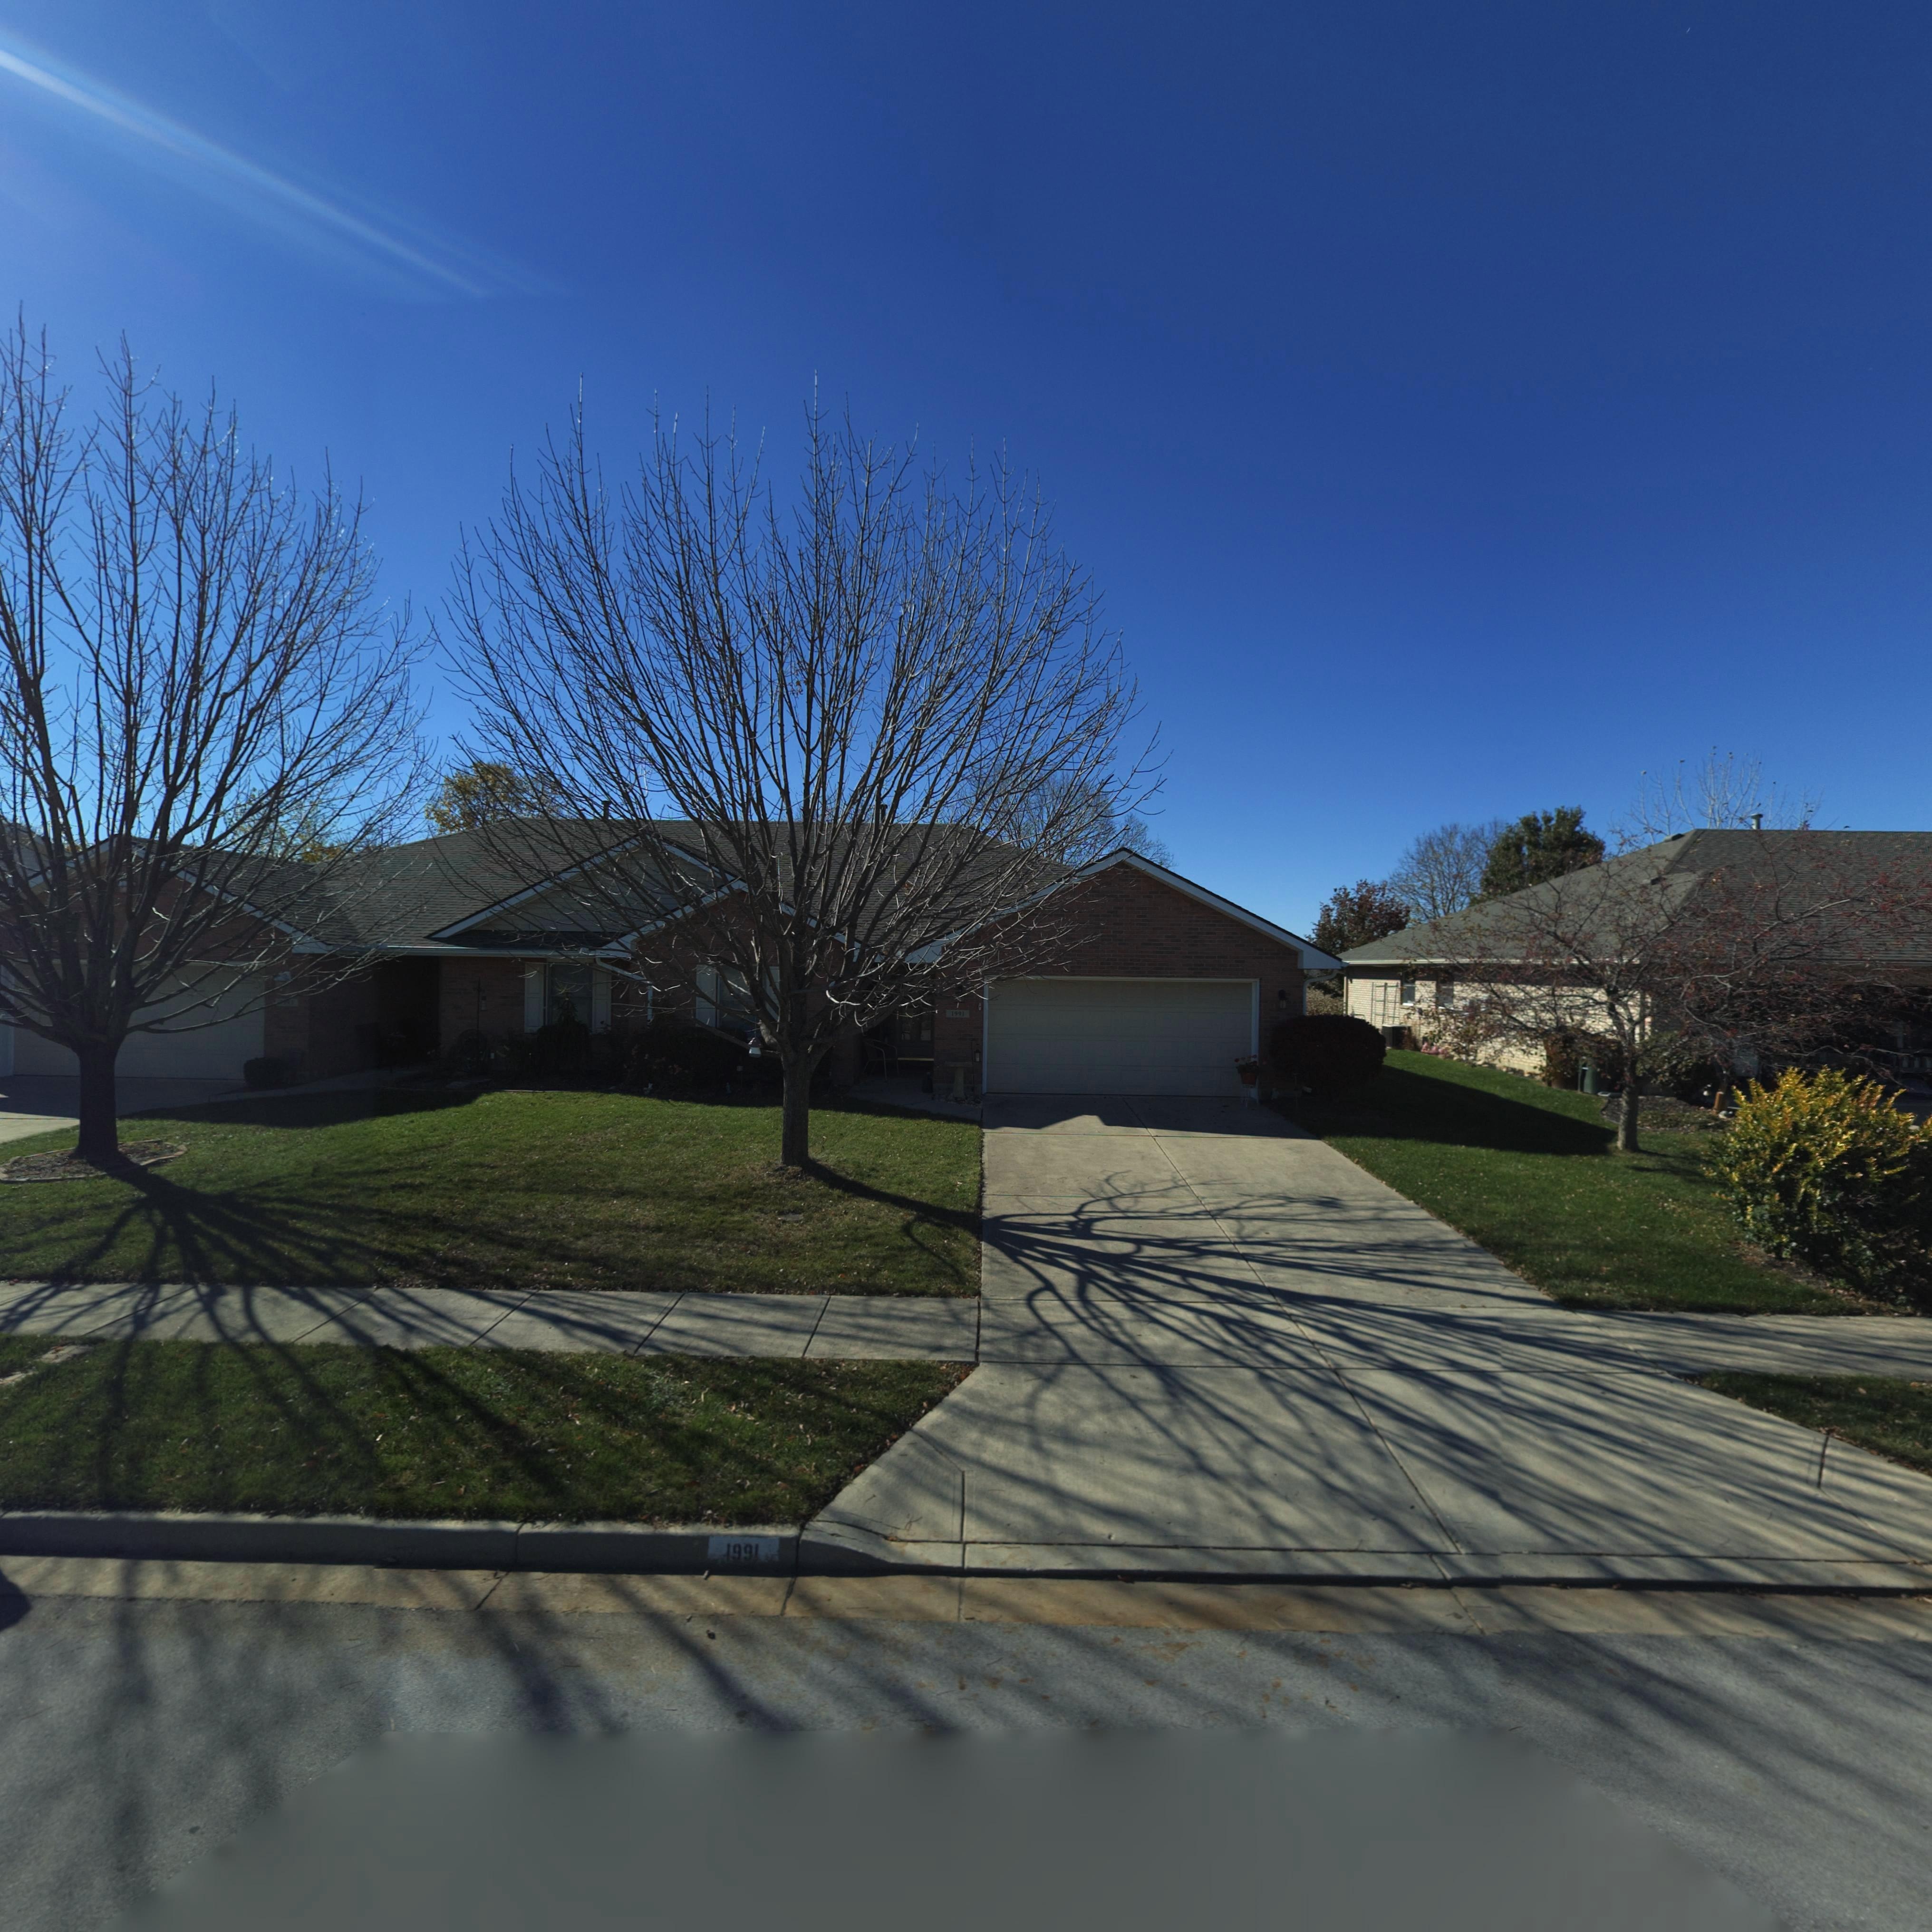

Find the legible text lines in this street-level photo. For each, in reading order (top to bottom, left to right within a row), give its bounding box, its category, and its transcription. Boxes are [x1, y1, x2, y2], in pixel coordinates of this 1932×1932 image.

[951, 1010, 965, 1017] StreetNumber: 1991
[725, 1542, 760, 1562] StreetNumber: 1991